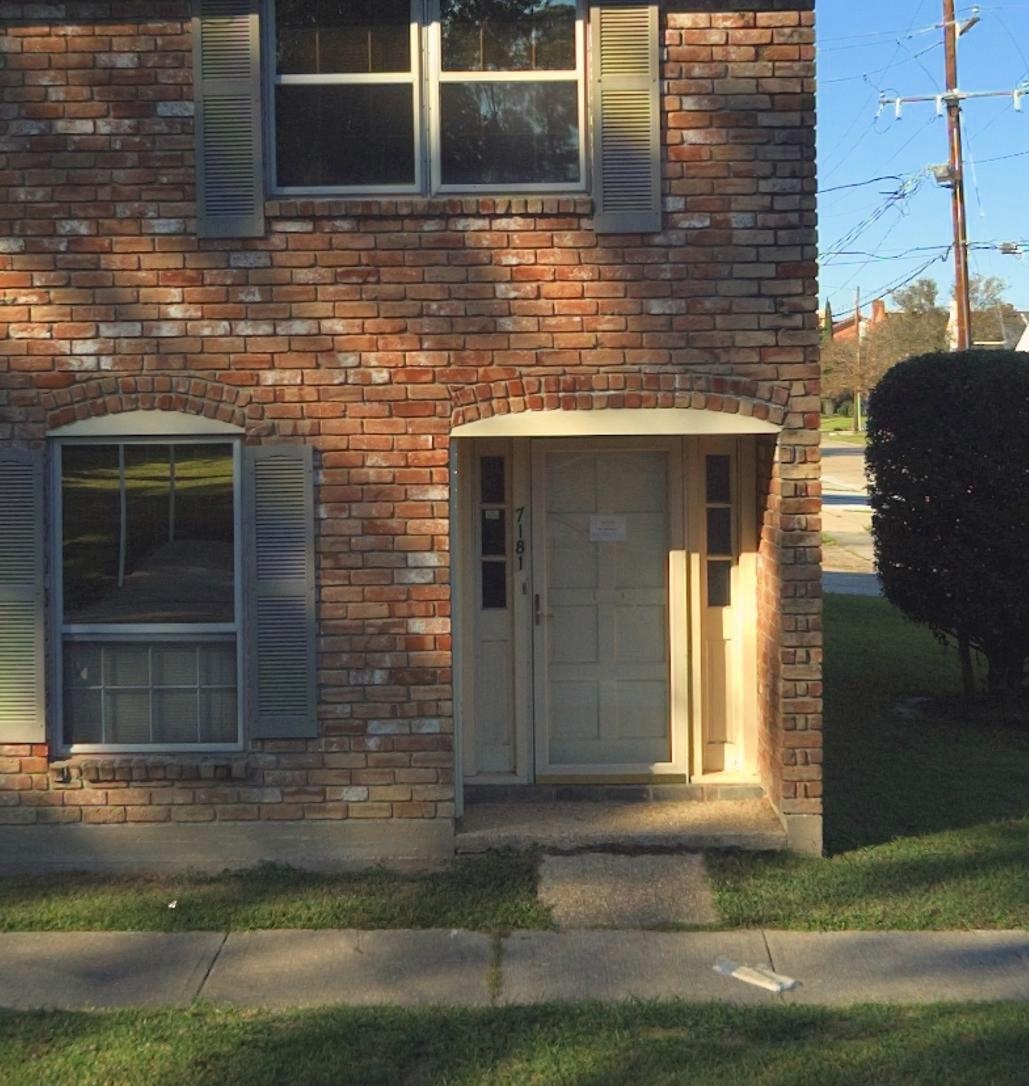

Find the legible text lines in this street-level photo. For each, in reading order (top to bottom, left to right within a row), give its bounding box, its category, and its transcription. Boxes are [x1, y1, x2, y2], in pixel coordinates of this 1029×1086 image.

[514, 505, 526, 573] StreetNumber: 7181